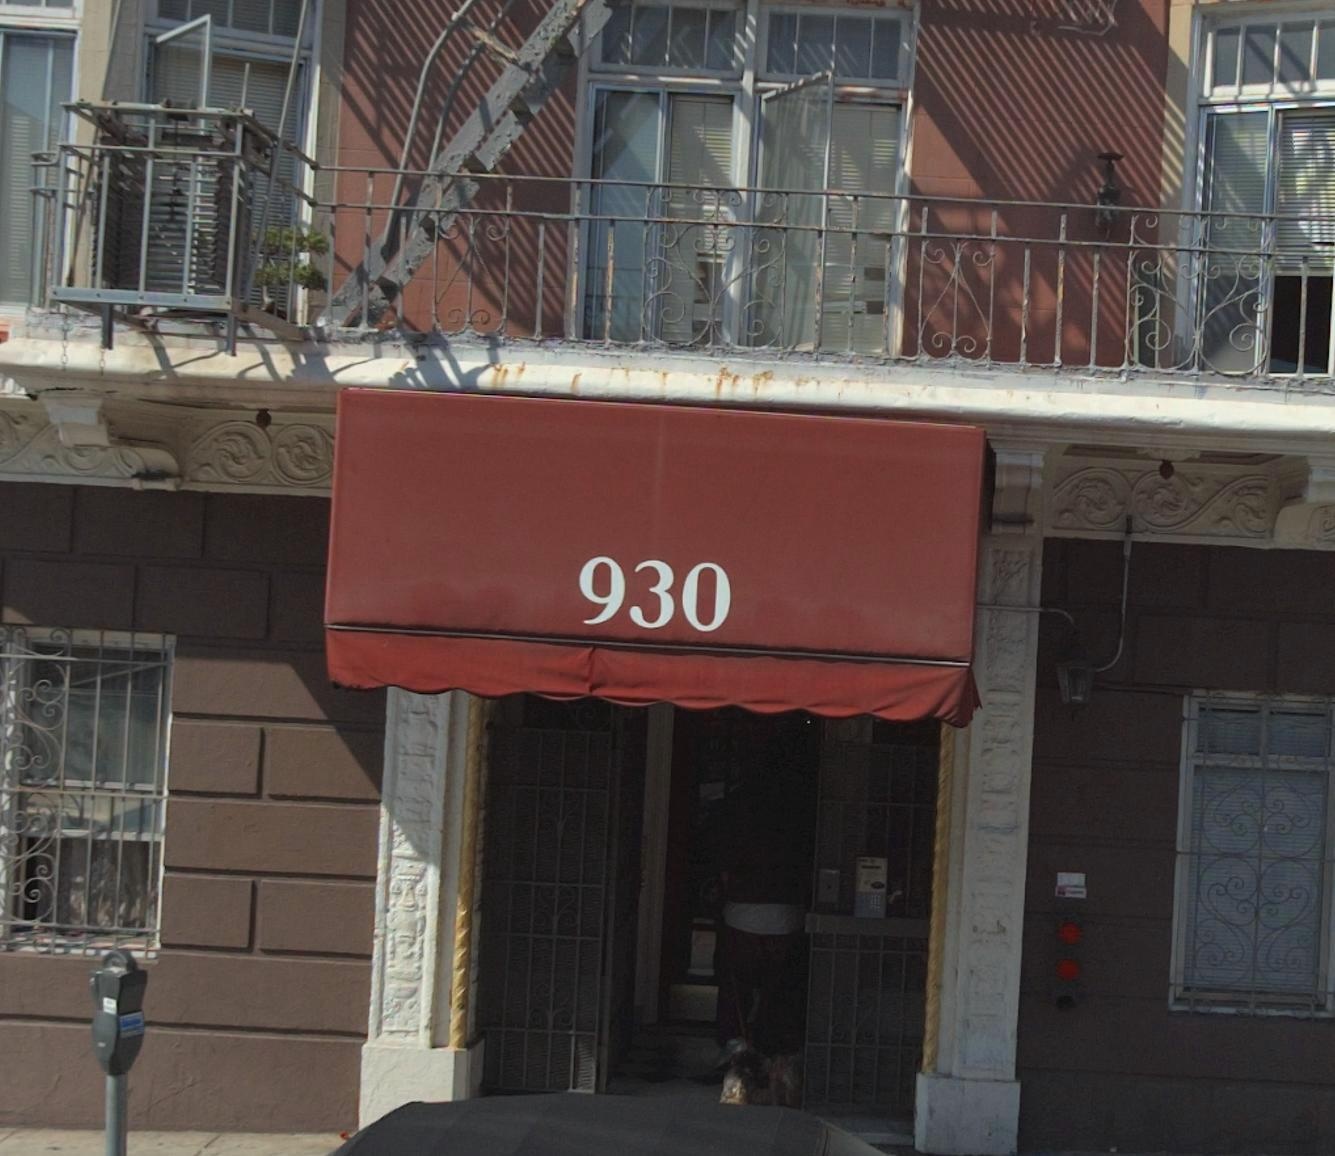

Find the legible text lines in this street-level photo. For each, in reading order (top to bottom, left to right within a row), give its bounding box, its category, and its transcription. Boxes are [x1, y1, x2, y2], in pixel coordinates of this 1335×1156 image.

[570, 554, 736, 635] StreetNumber: 930